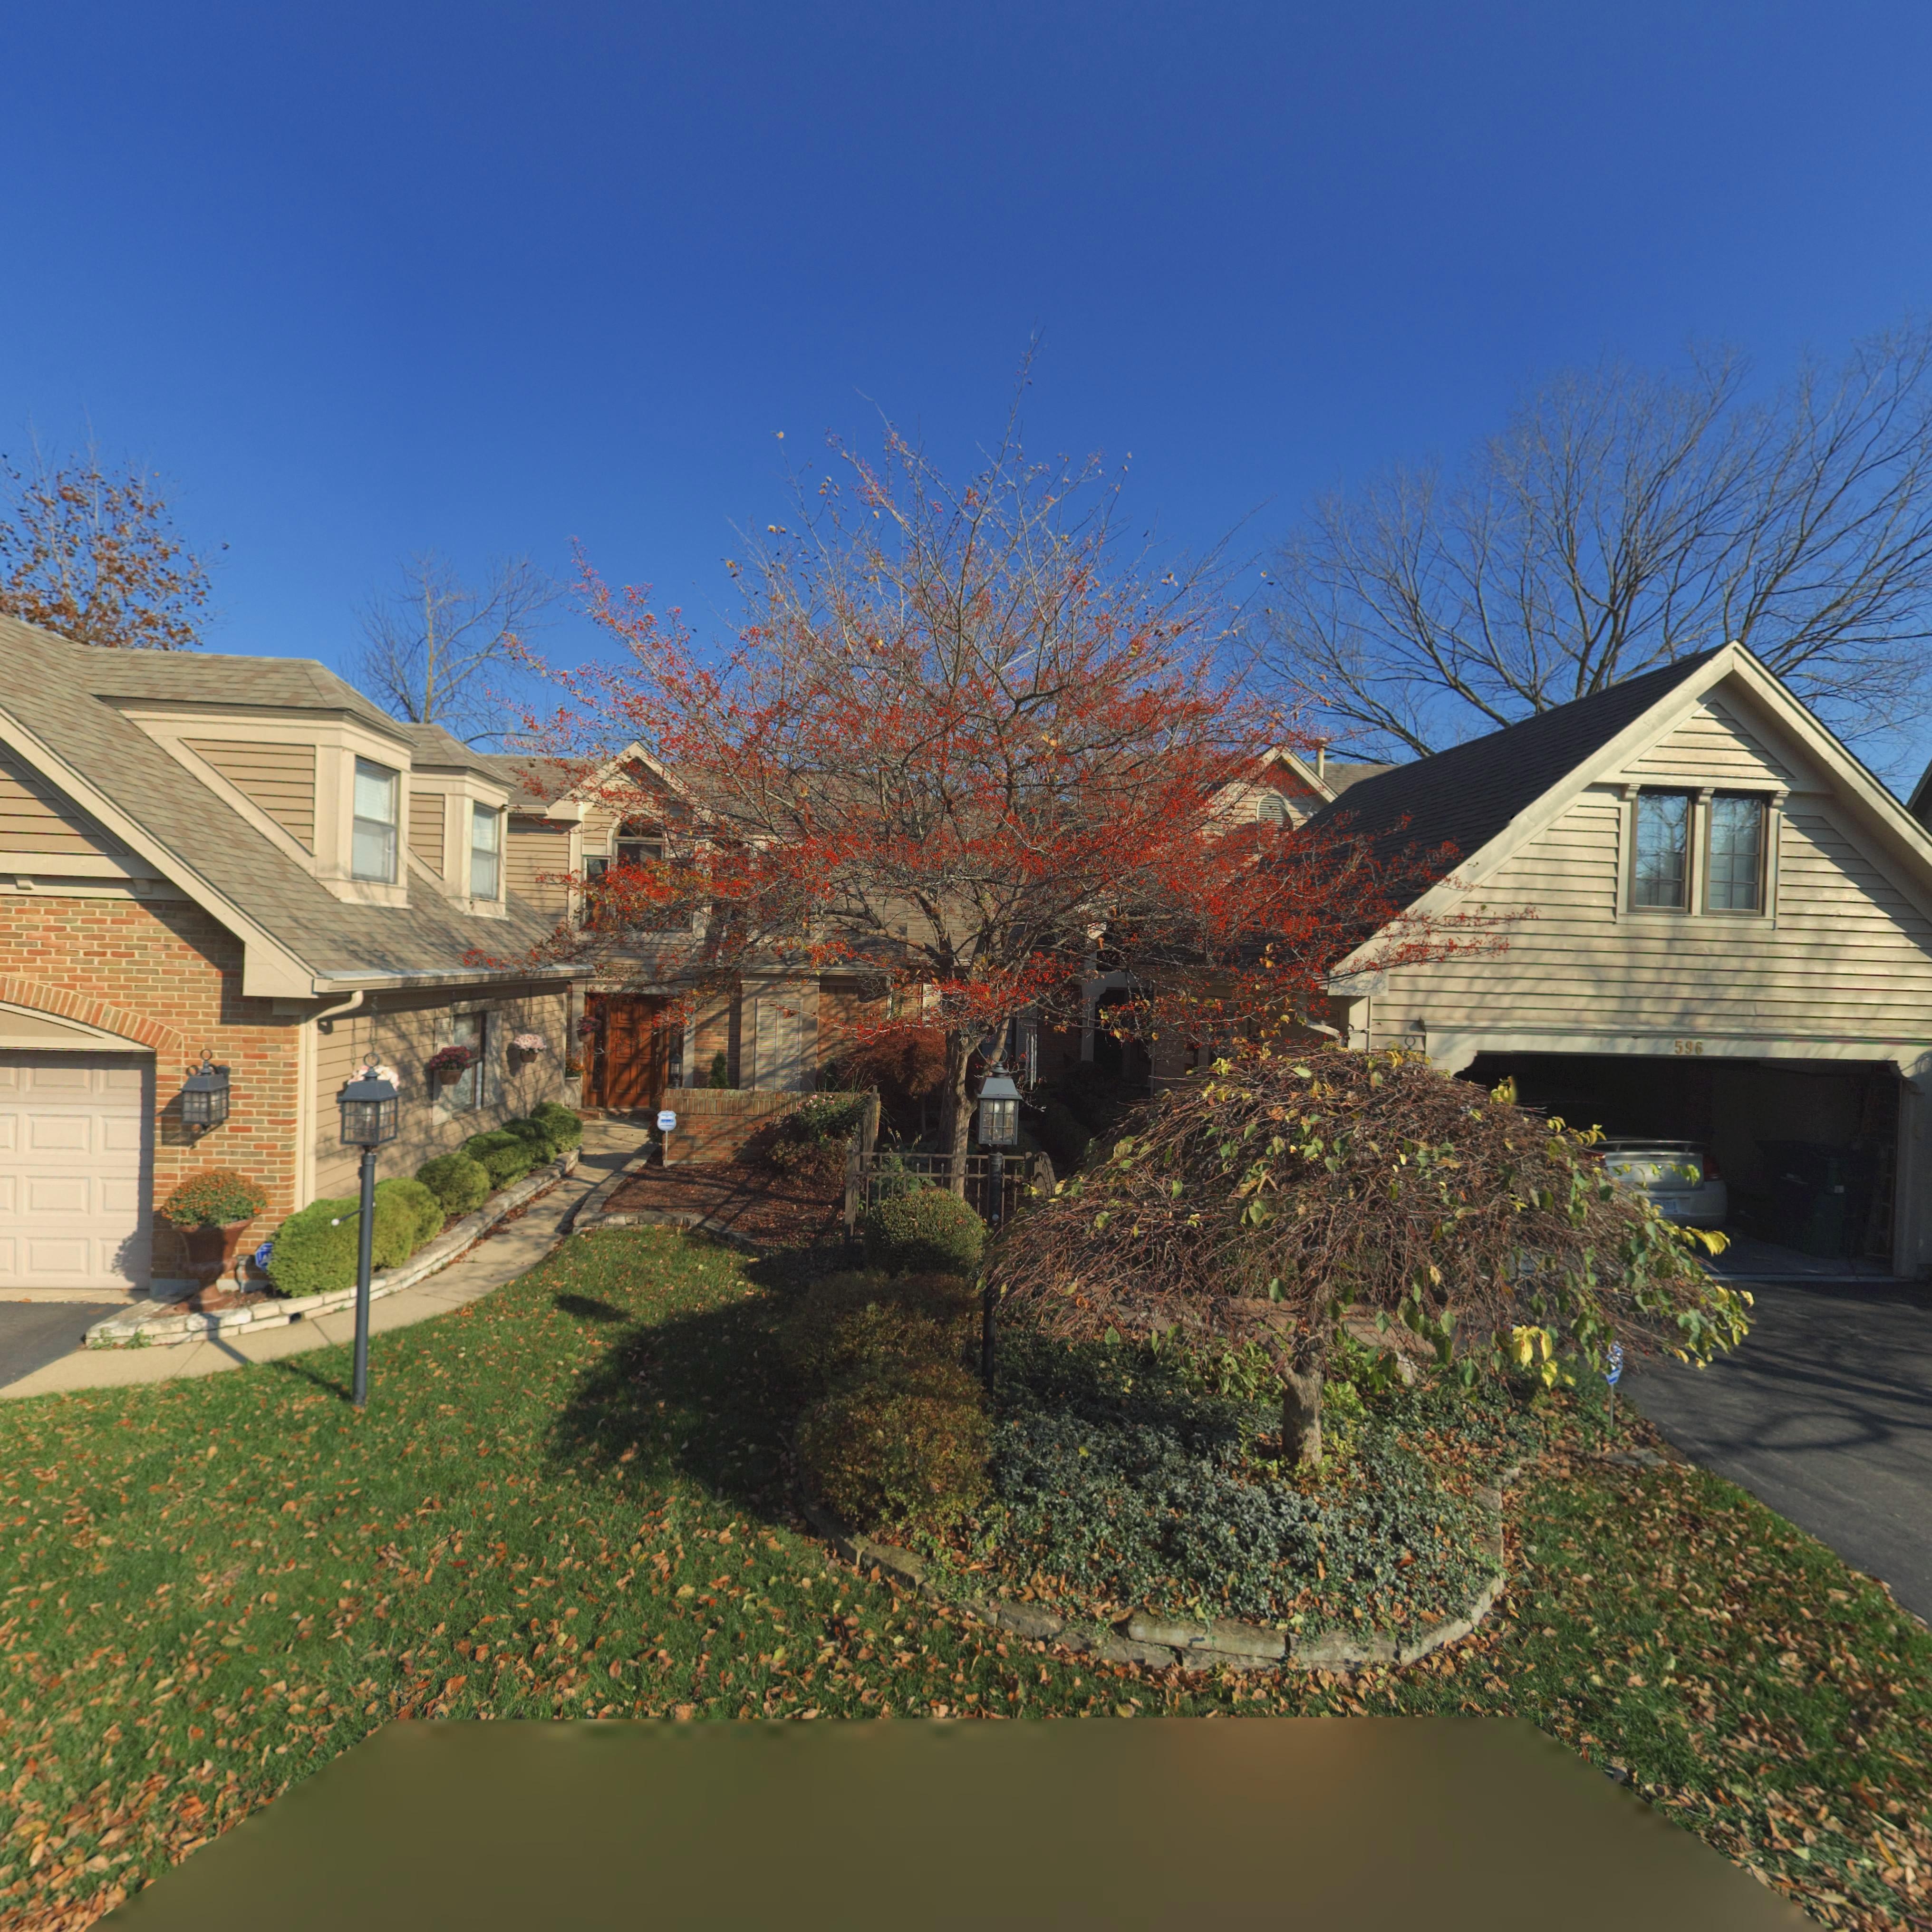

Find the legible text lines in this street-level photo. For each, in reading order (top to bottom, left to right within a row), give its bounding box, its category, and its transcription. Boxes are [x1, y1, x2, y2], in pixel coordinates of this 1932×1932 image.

[686, 1009, 692, 1036] StreetNumber: 598
[1674, 1038, 1703, 1055] StreetNumber: 596